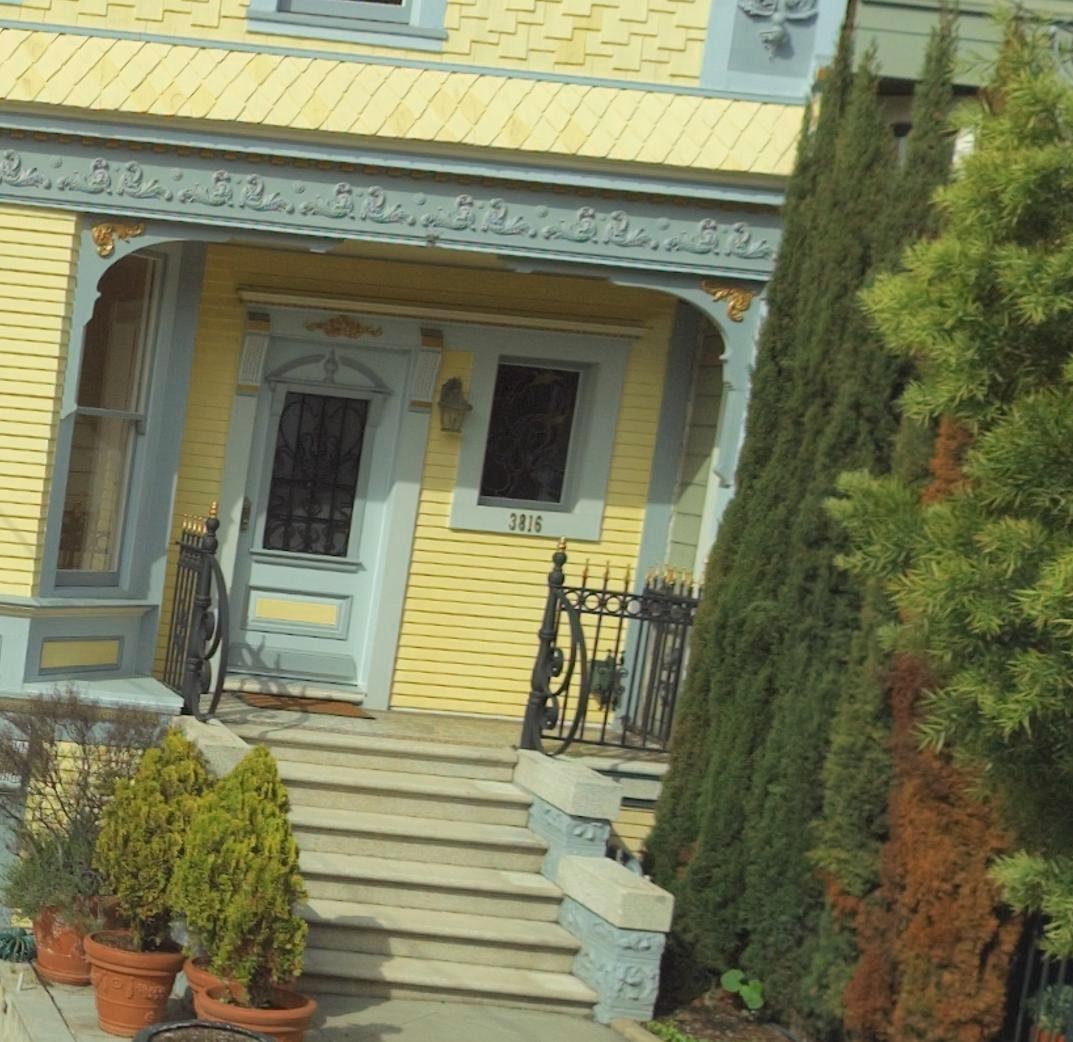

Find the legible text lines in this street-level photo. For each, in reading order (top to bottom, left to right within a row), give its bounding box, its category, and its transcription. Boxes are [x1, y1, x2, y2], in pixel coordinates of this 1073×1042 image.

[507, 512, 544, 534] StreetNumber: 3816